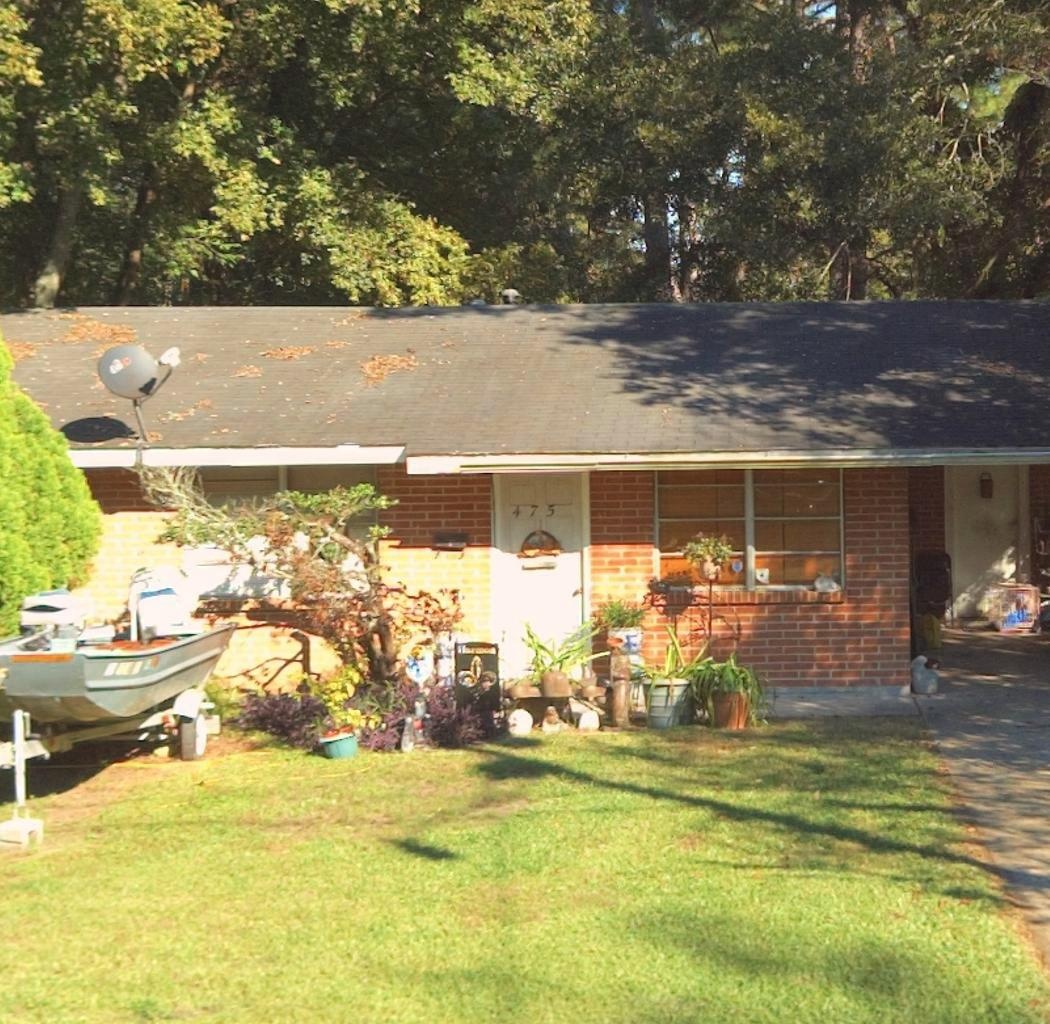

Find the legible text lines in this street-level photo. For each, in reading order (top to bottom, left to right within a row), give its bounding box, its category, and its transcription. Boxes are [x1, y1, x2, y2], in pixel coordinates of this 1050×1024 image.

[510, 503, 557, 518] StreetNumber: 475